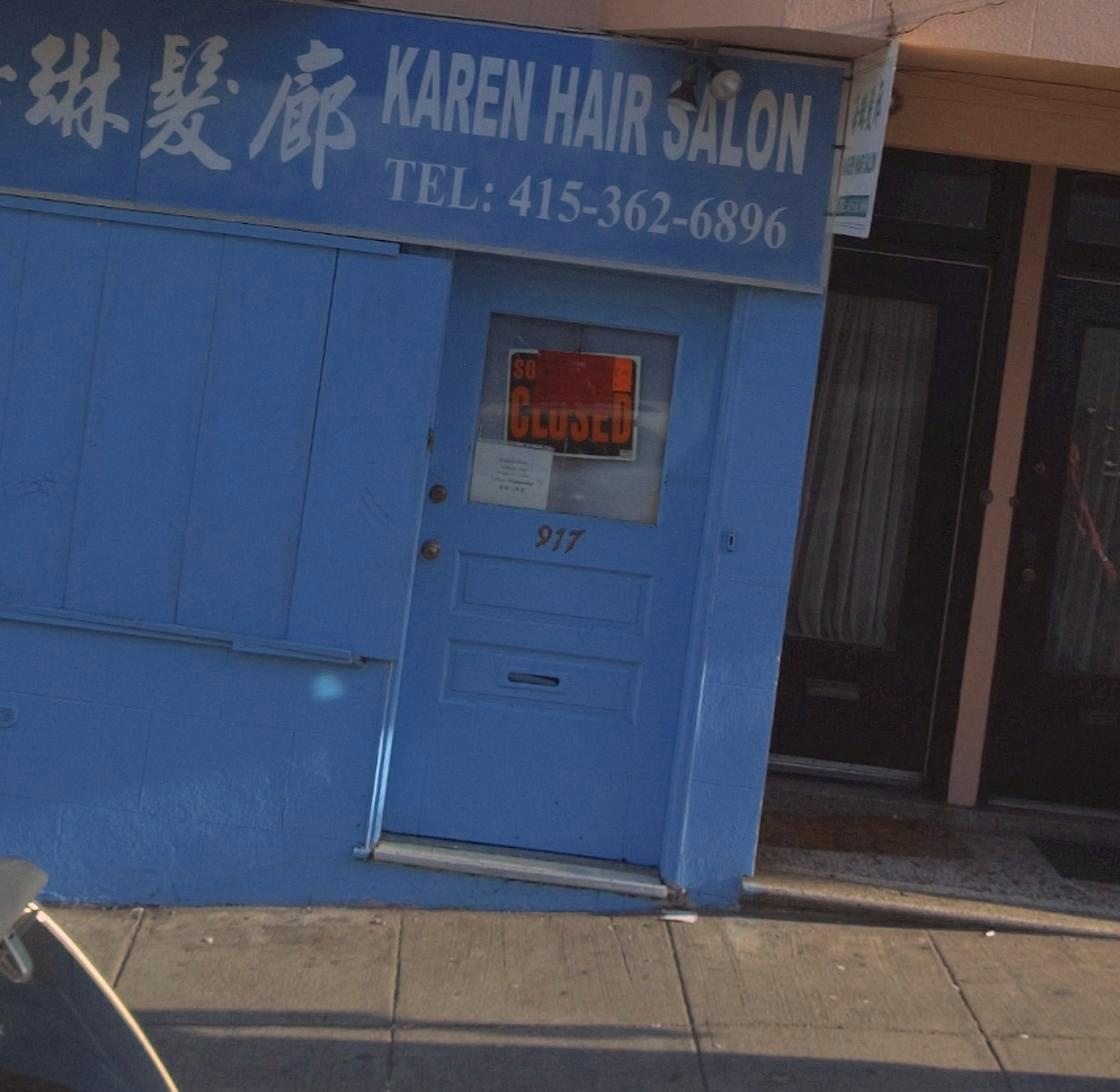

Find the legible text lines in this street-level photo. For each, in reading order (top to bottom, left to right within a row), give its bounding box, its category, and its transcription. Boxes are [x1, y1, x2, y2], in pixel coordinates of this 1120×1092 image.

[378, 39, 817, 180] BusinessName: KAREN HAIR *ALON
[380, 155, 791, 252] None: TEL:415-362-6896
[511, 355, 538, 381] None: SO
[509, 384, 633, 445] None: C****D
[529, 520, 592, 557] StreetNumber: 917